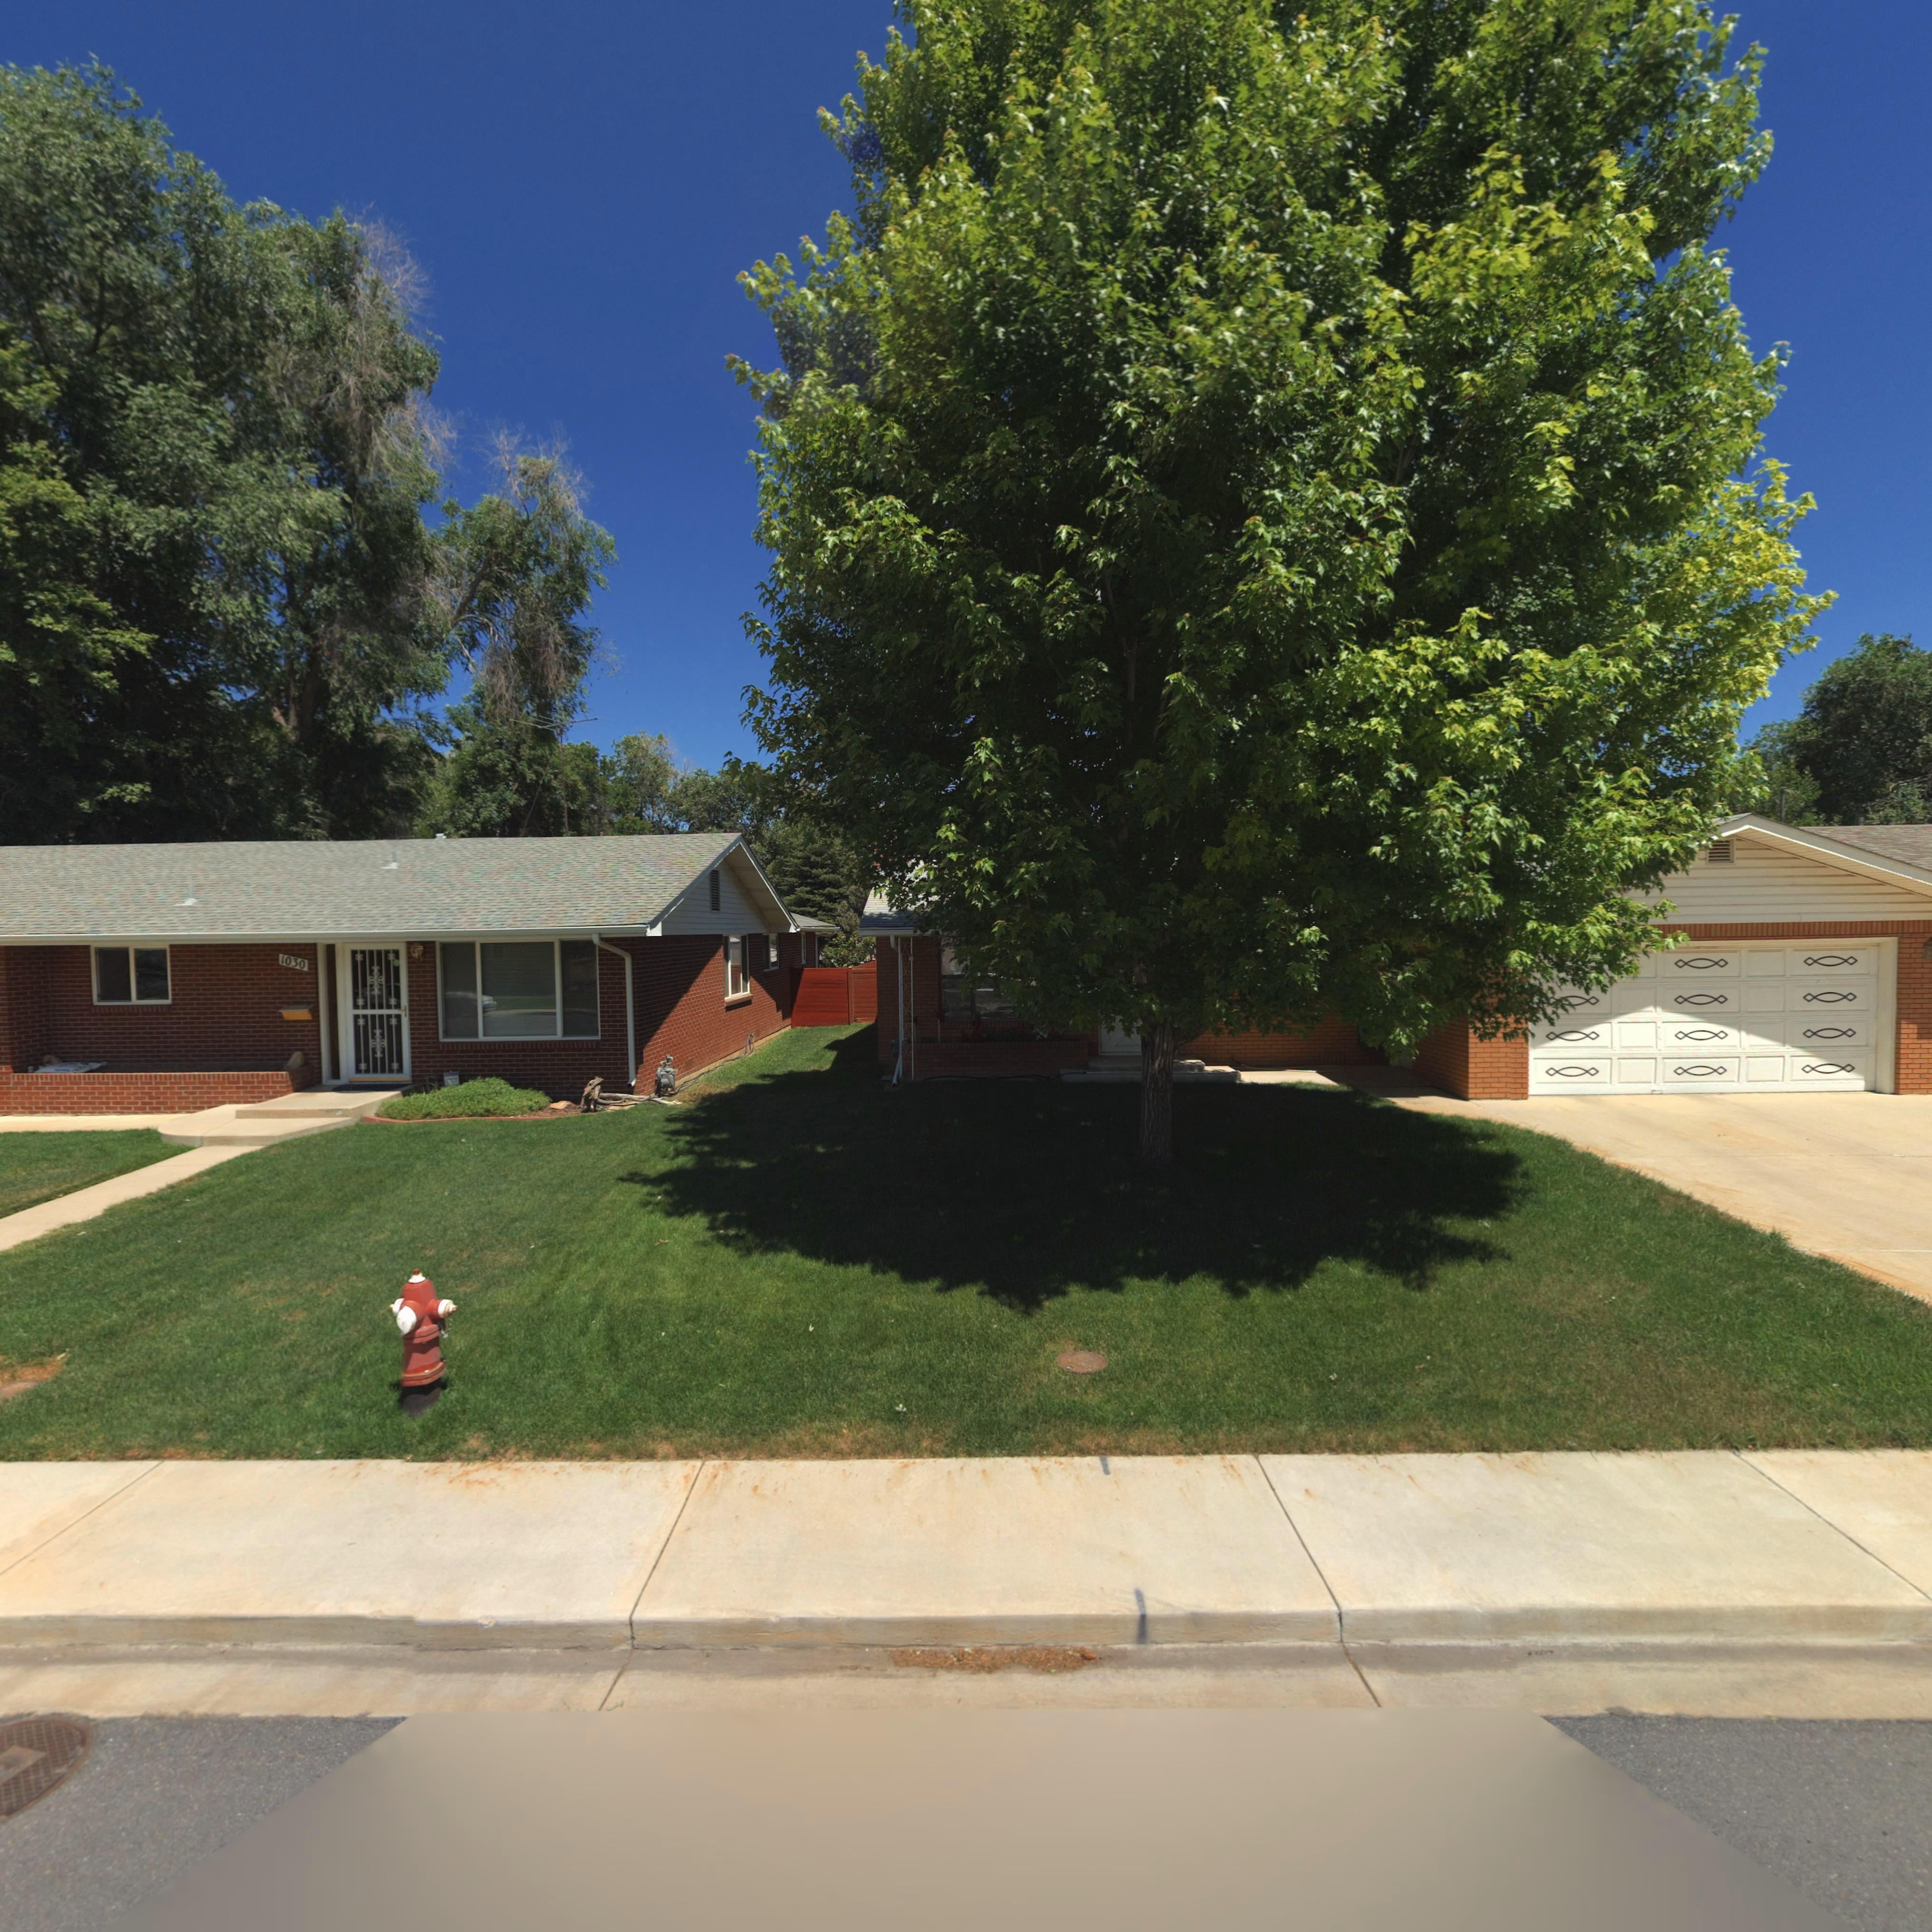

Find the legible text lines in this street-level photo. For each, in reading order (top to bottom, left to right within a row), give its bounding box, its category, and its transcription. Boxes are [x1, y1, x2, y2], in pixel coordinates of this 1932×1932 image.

[281, 955, 306, 969] StreetNumber: 1030